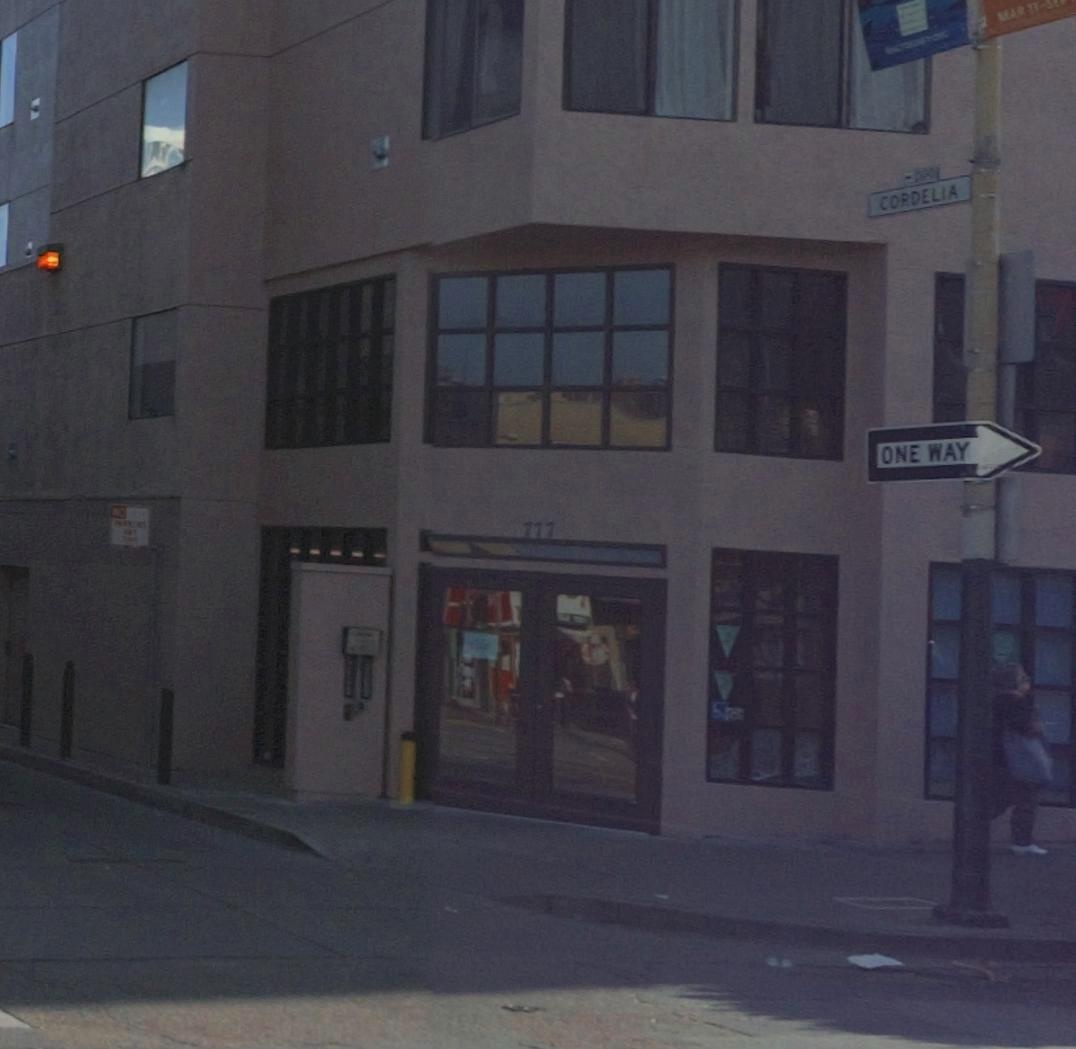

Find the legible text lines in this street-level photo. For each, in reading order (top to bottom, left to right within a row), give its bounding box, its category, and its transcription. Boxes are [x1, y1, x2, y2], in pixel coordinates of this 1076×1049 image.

[903, 166, 937, 184] None: <-*00
[878, 182, 959, 213] None: CORDELIA
[880, 438, 972, 466] None: ONE WAY
[110, 505, 127, 518] None: NO
[519, 518, 559, 541] StreetNumber: 777